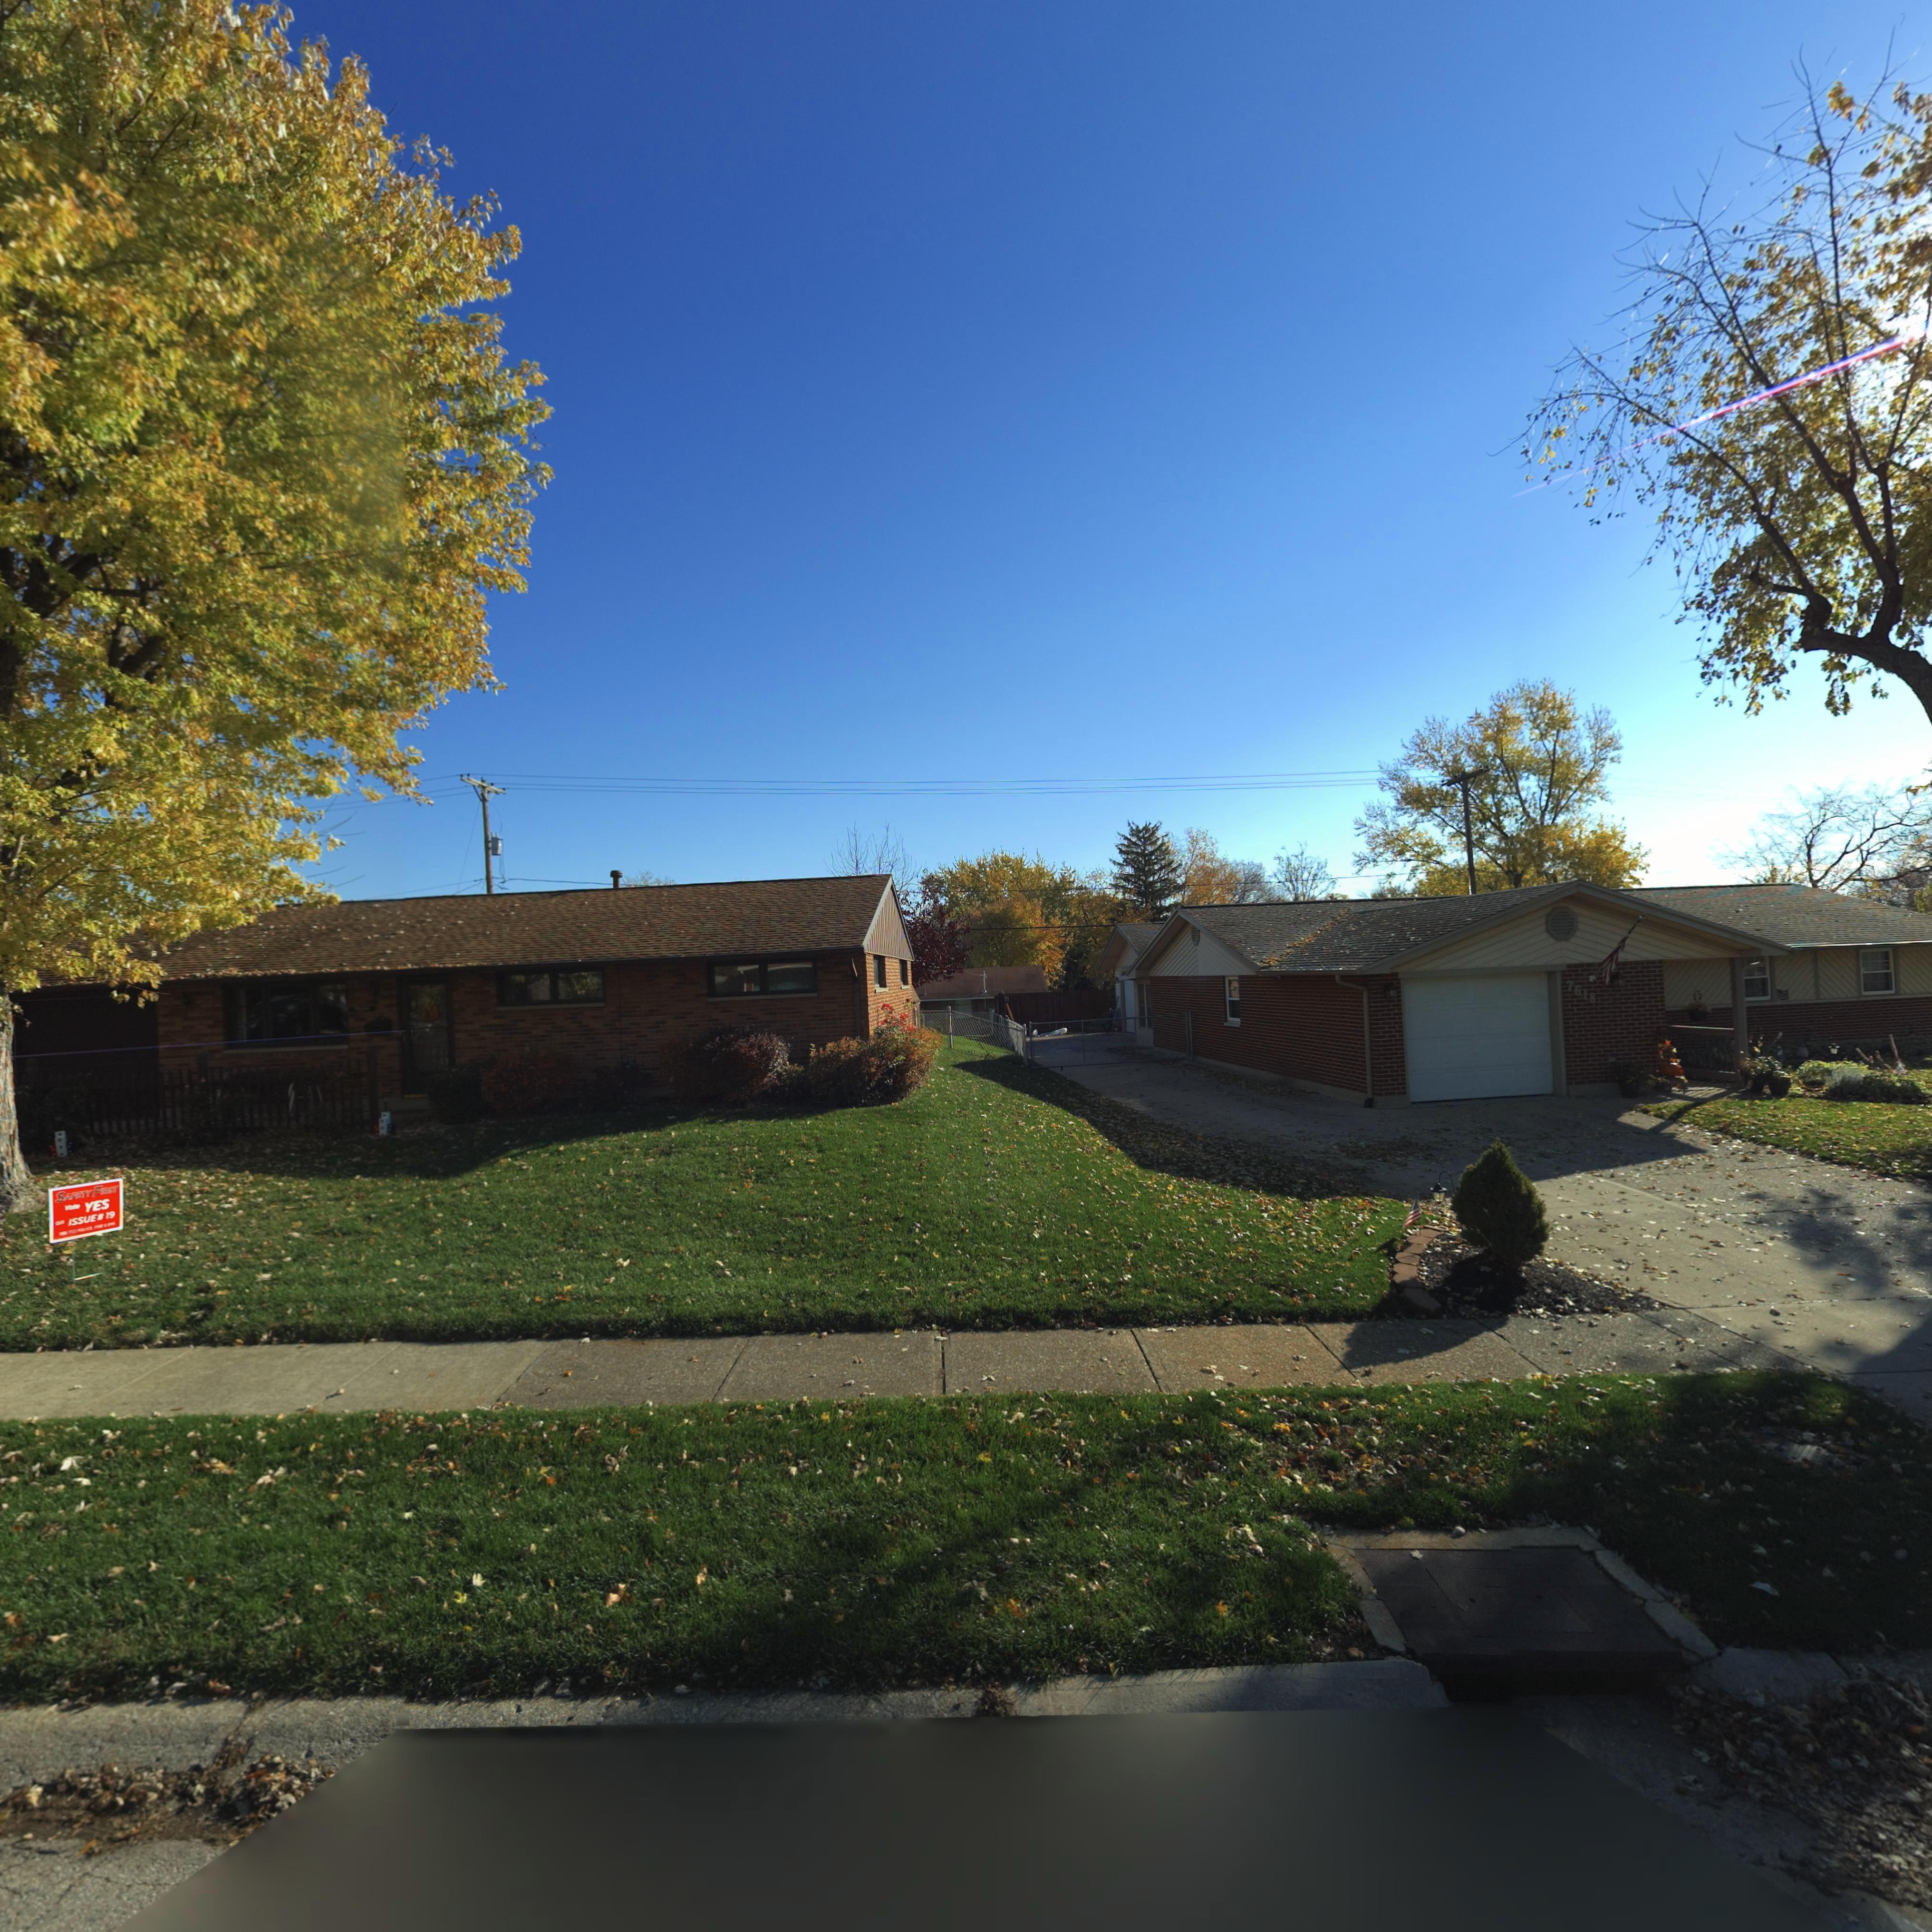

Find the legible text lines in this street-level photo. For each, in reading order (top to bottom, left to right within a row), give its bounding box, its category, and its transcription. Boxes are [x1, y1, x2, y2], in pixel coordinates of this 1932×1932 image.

[1564, 979, 1597, 1006] StreetNumber: 7618